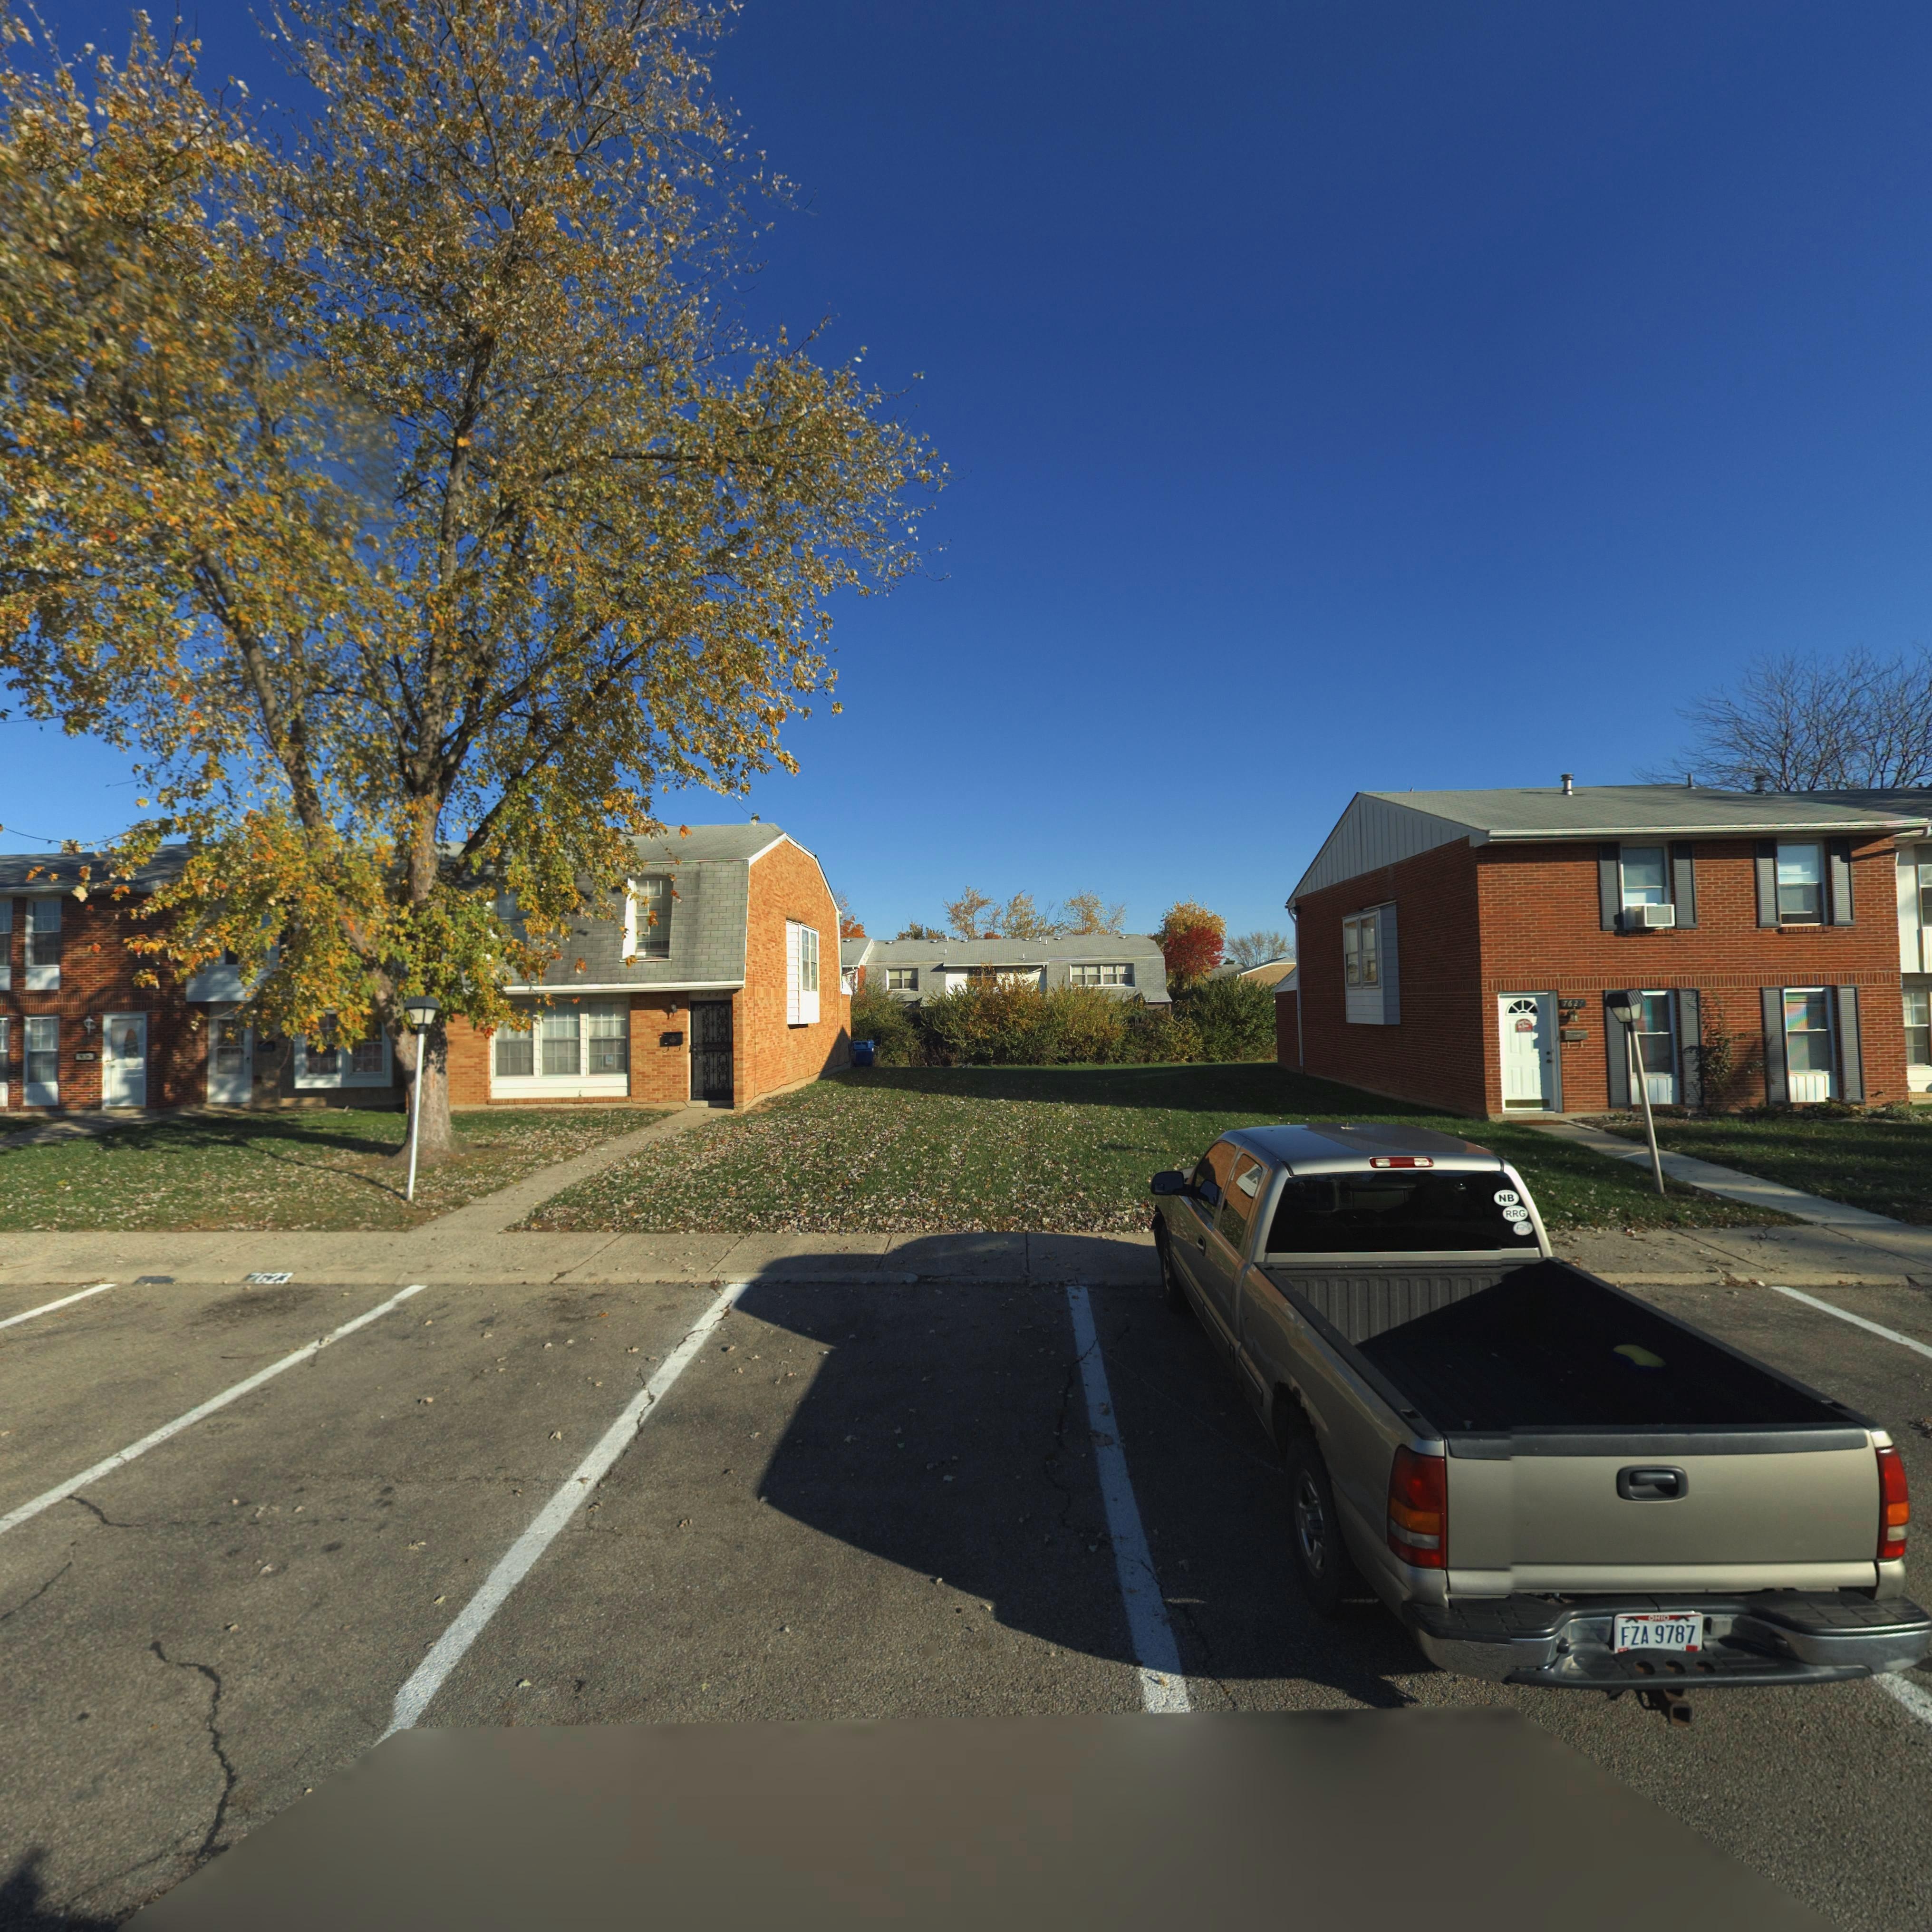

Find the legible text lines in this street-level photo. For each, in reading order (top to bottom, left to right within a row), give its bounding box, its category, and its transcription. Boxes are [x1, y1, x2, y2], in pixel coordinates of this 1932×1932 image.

[699, 992, 727, 998] StreetNumber: 7623
[241, 1272, 294, 1285] StreetNumber: 7623